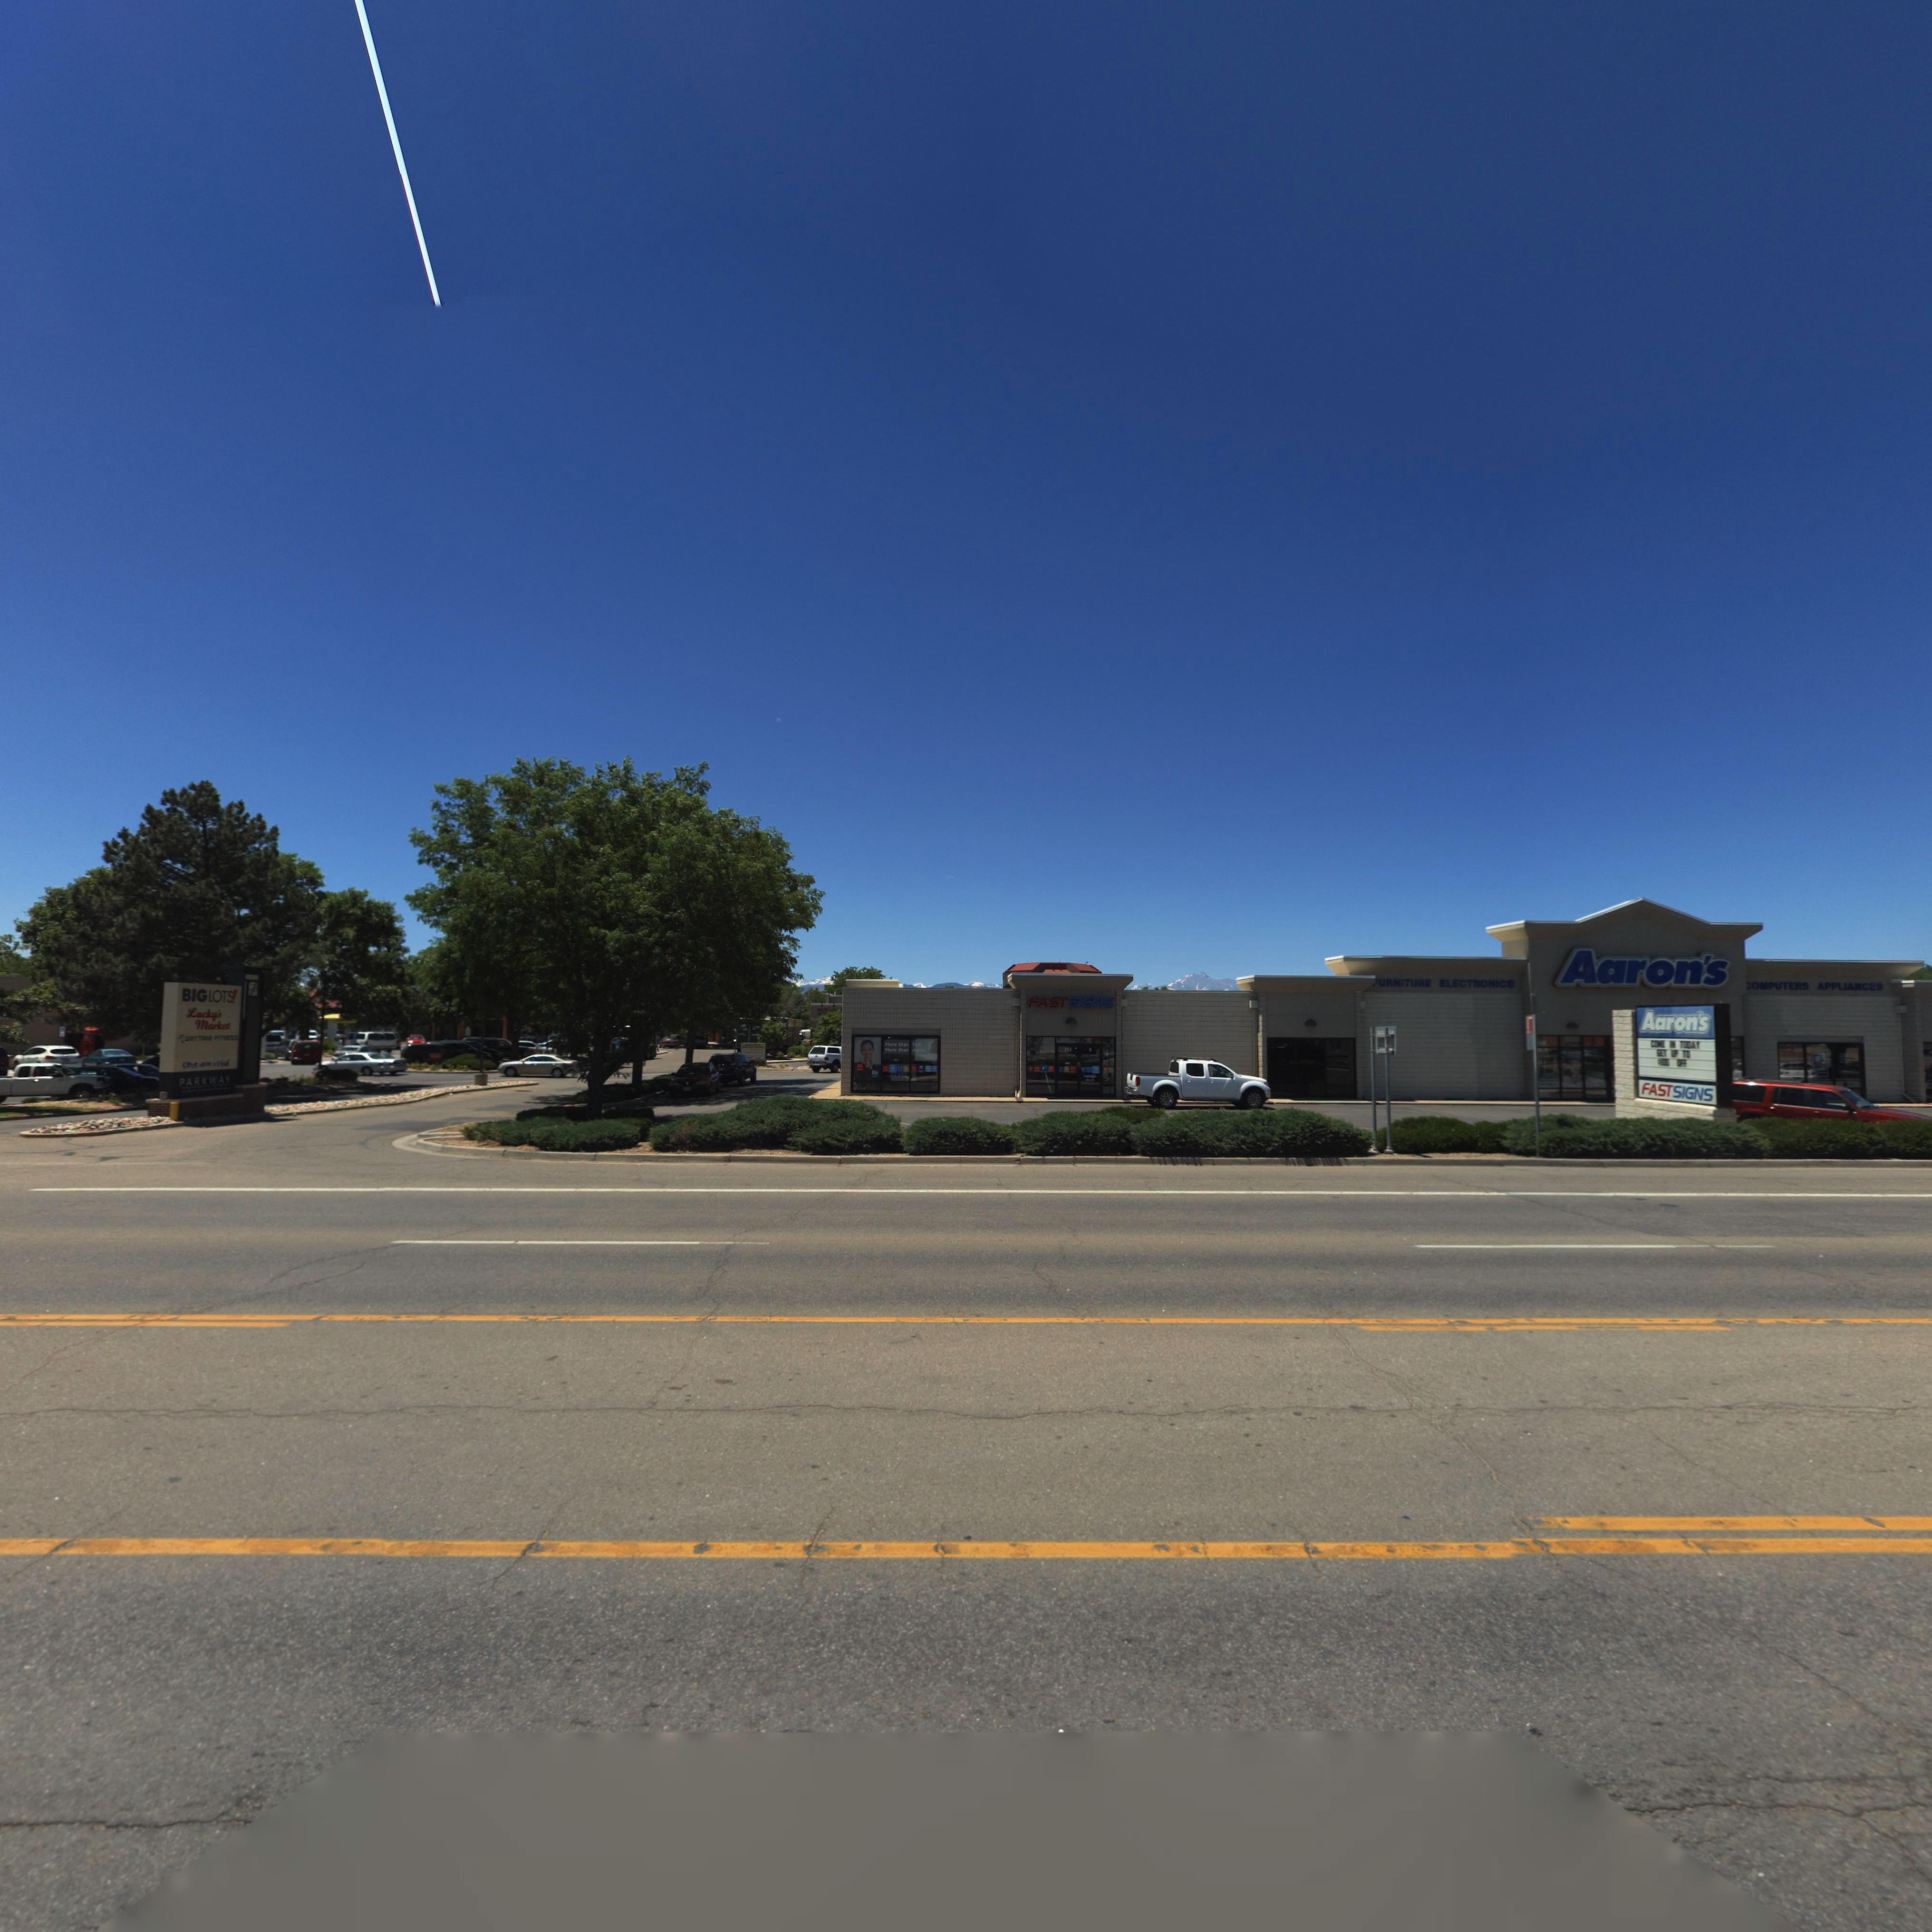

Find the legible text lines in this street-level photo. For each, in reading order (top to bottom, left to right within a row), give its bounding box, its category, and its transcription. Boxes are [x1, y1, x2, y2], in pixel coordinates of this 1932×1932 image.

[1558, 948, 1729, 986] BusinessName: Aaron's
[182, 988, 238, 1003] BusinessName: BIGOTS*
[1027, 995, 1115, 1009] BusinessName: FAST SIGNS
[186, 1007, 222, 1022] BusinessName: Lucky's
[195, 1019, 231, 1030] BusinessName: Market
[1641, 1011, 1710, 1032] BusinessName: Aaron's
[184, 1034, 238, 1042] BusinessName: ANYT*ME F*TNESS
[1064, 1047, 1072, 1052] StreetNumber: 203
[1642, 1082, 1713, 1102] None: FAST SIGNS